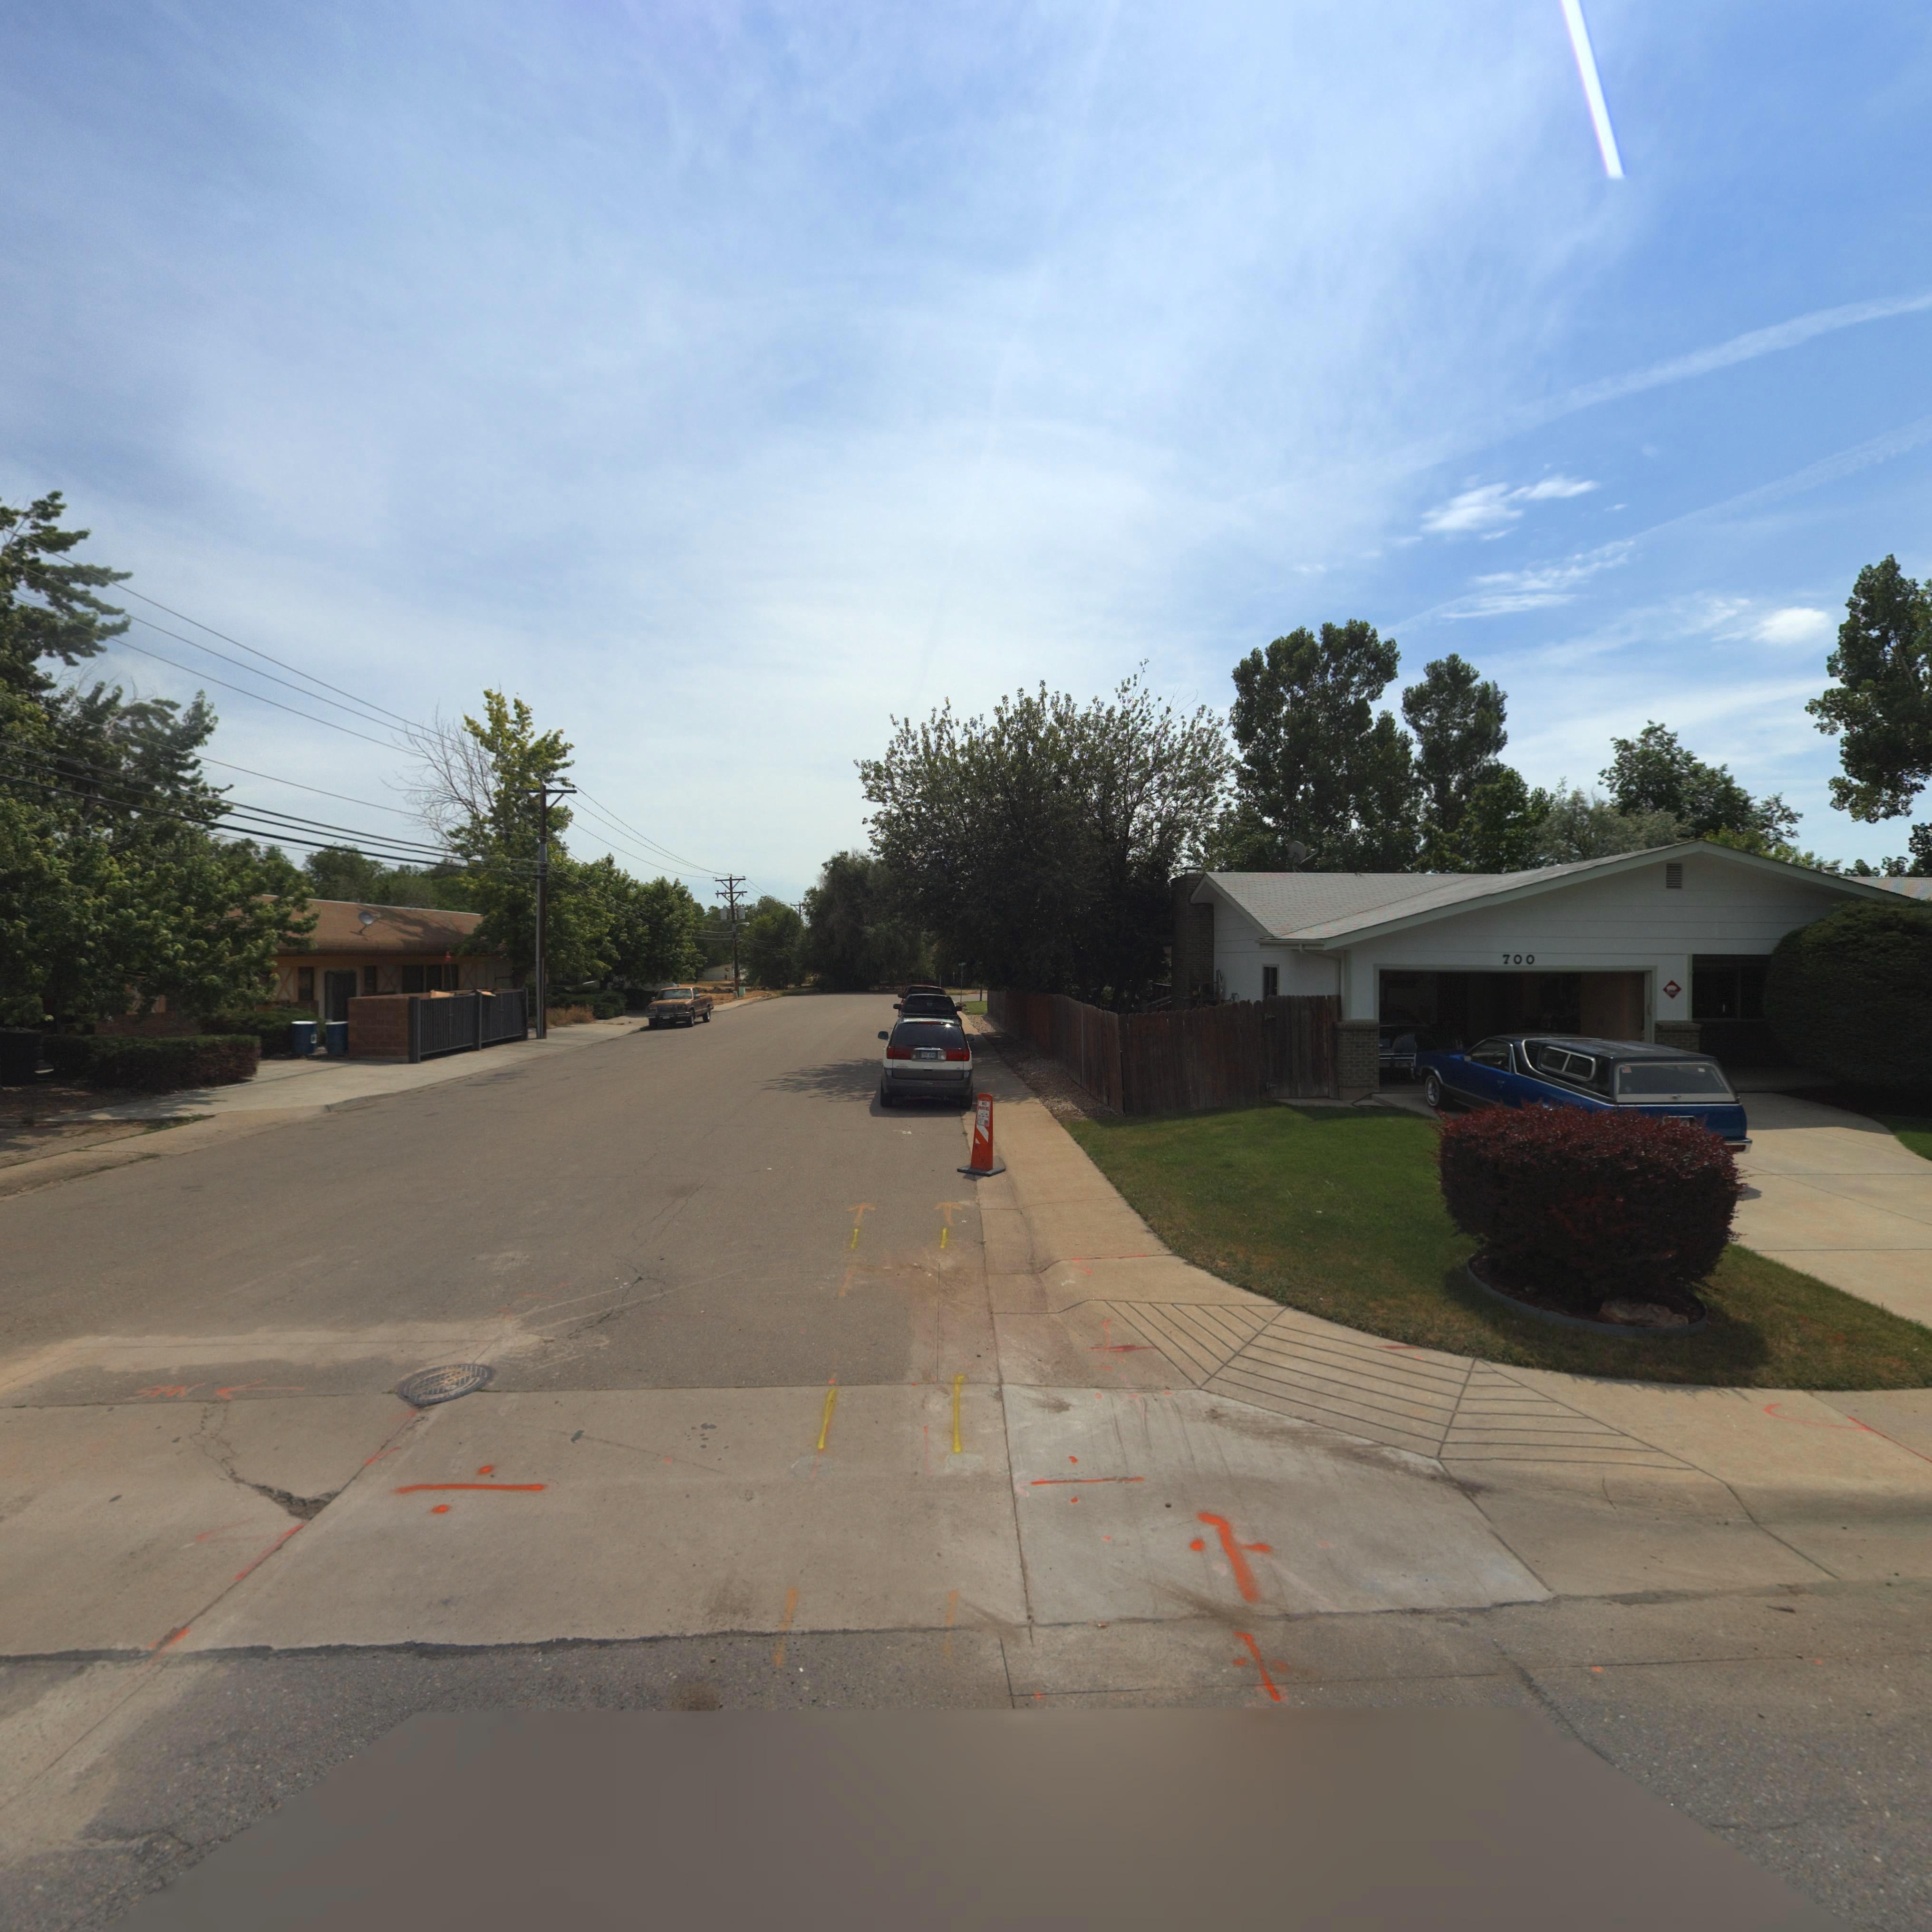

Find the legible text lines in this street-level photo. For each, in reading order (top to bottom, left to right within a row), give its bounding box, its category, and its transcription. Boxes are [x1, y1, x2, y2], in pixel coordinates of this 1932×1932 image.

[1502, 954, 1535, 965] StreetNumber: 700